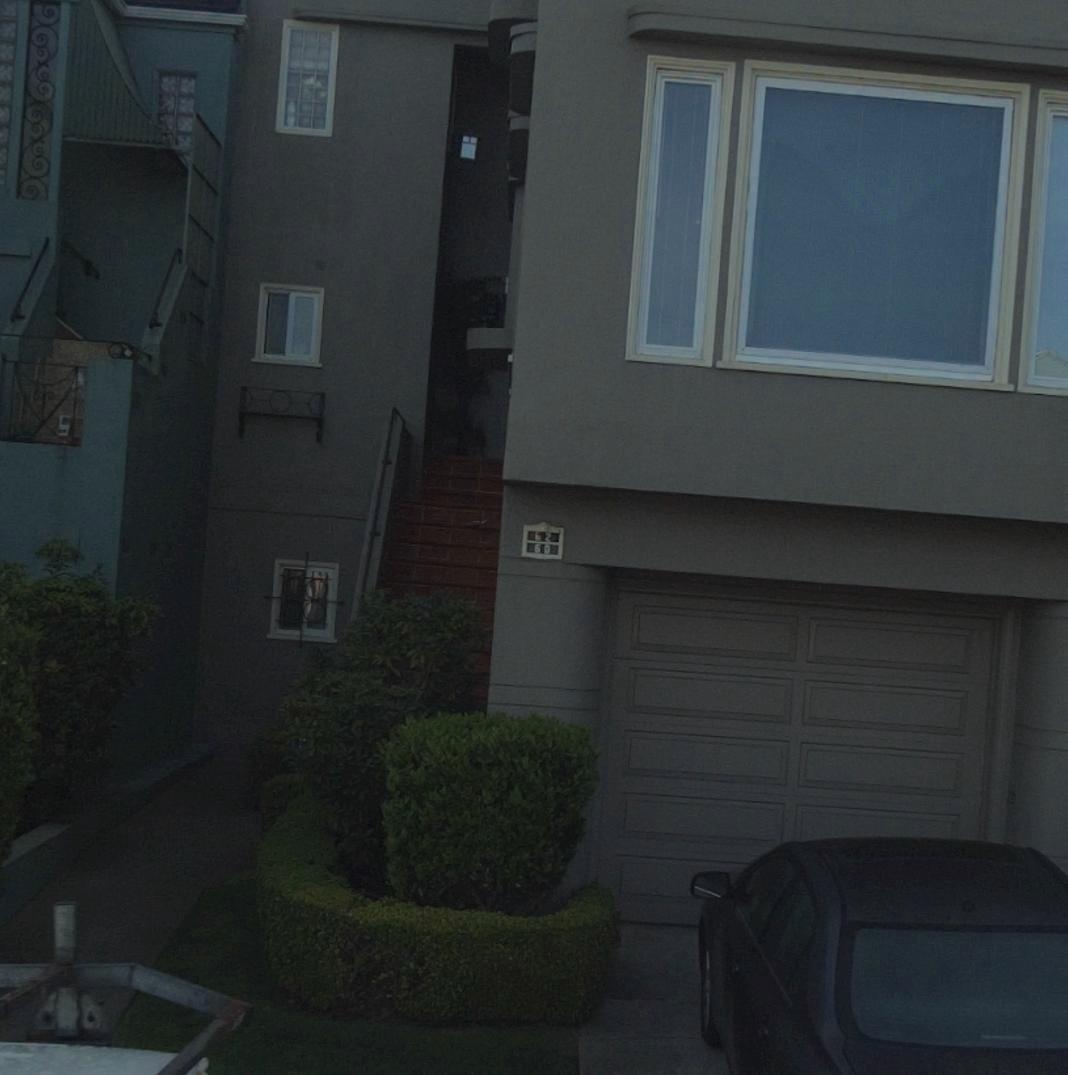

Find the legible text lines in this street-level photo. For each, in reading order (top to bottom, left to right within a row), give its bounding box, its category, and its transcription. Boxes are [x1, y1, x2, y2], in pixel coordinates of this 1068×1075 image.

[533, 530, 554, 544] StreetNumber: 62
[532, 541, 553, 557] StreetNumber: 60